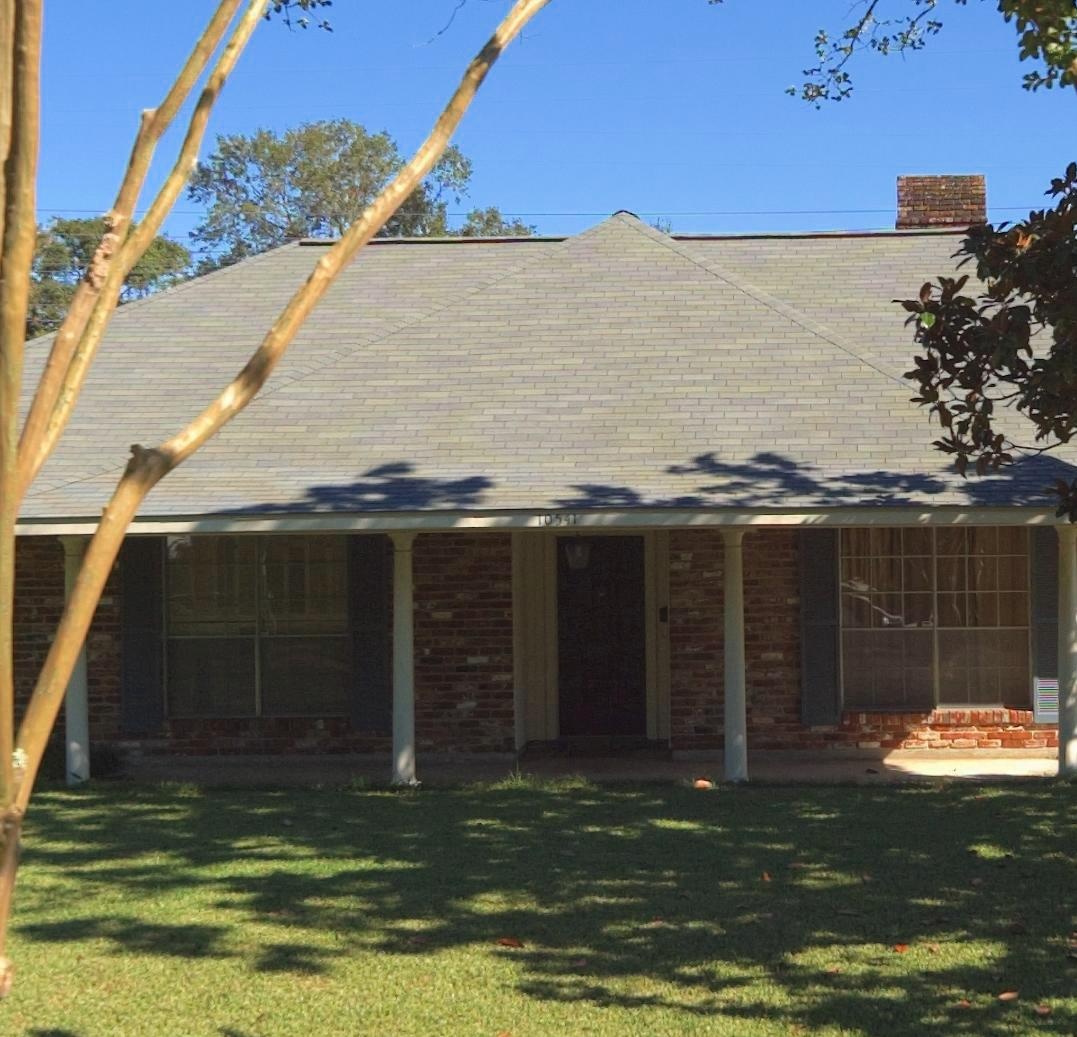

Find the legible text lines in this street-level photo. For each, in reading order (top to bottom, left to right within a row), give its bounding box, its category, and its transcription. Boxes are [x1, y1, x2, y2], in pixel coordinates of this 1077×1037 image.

[535, 512, 581, 527] StreetNumber: 10541